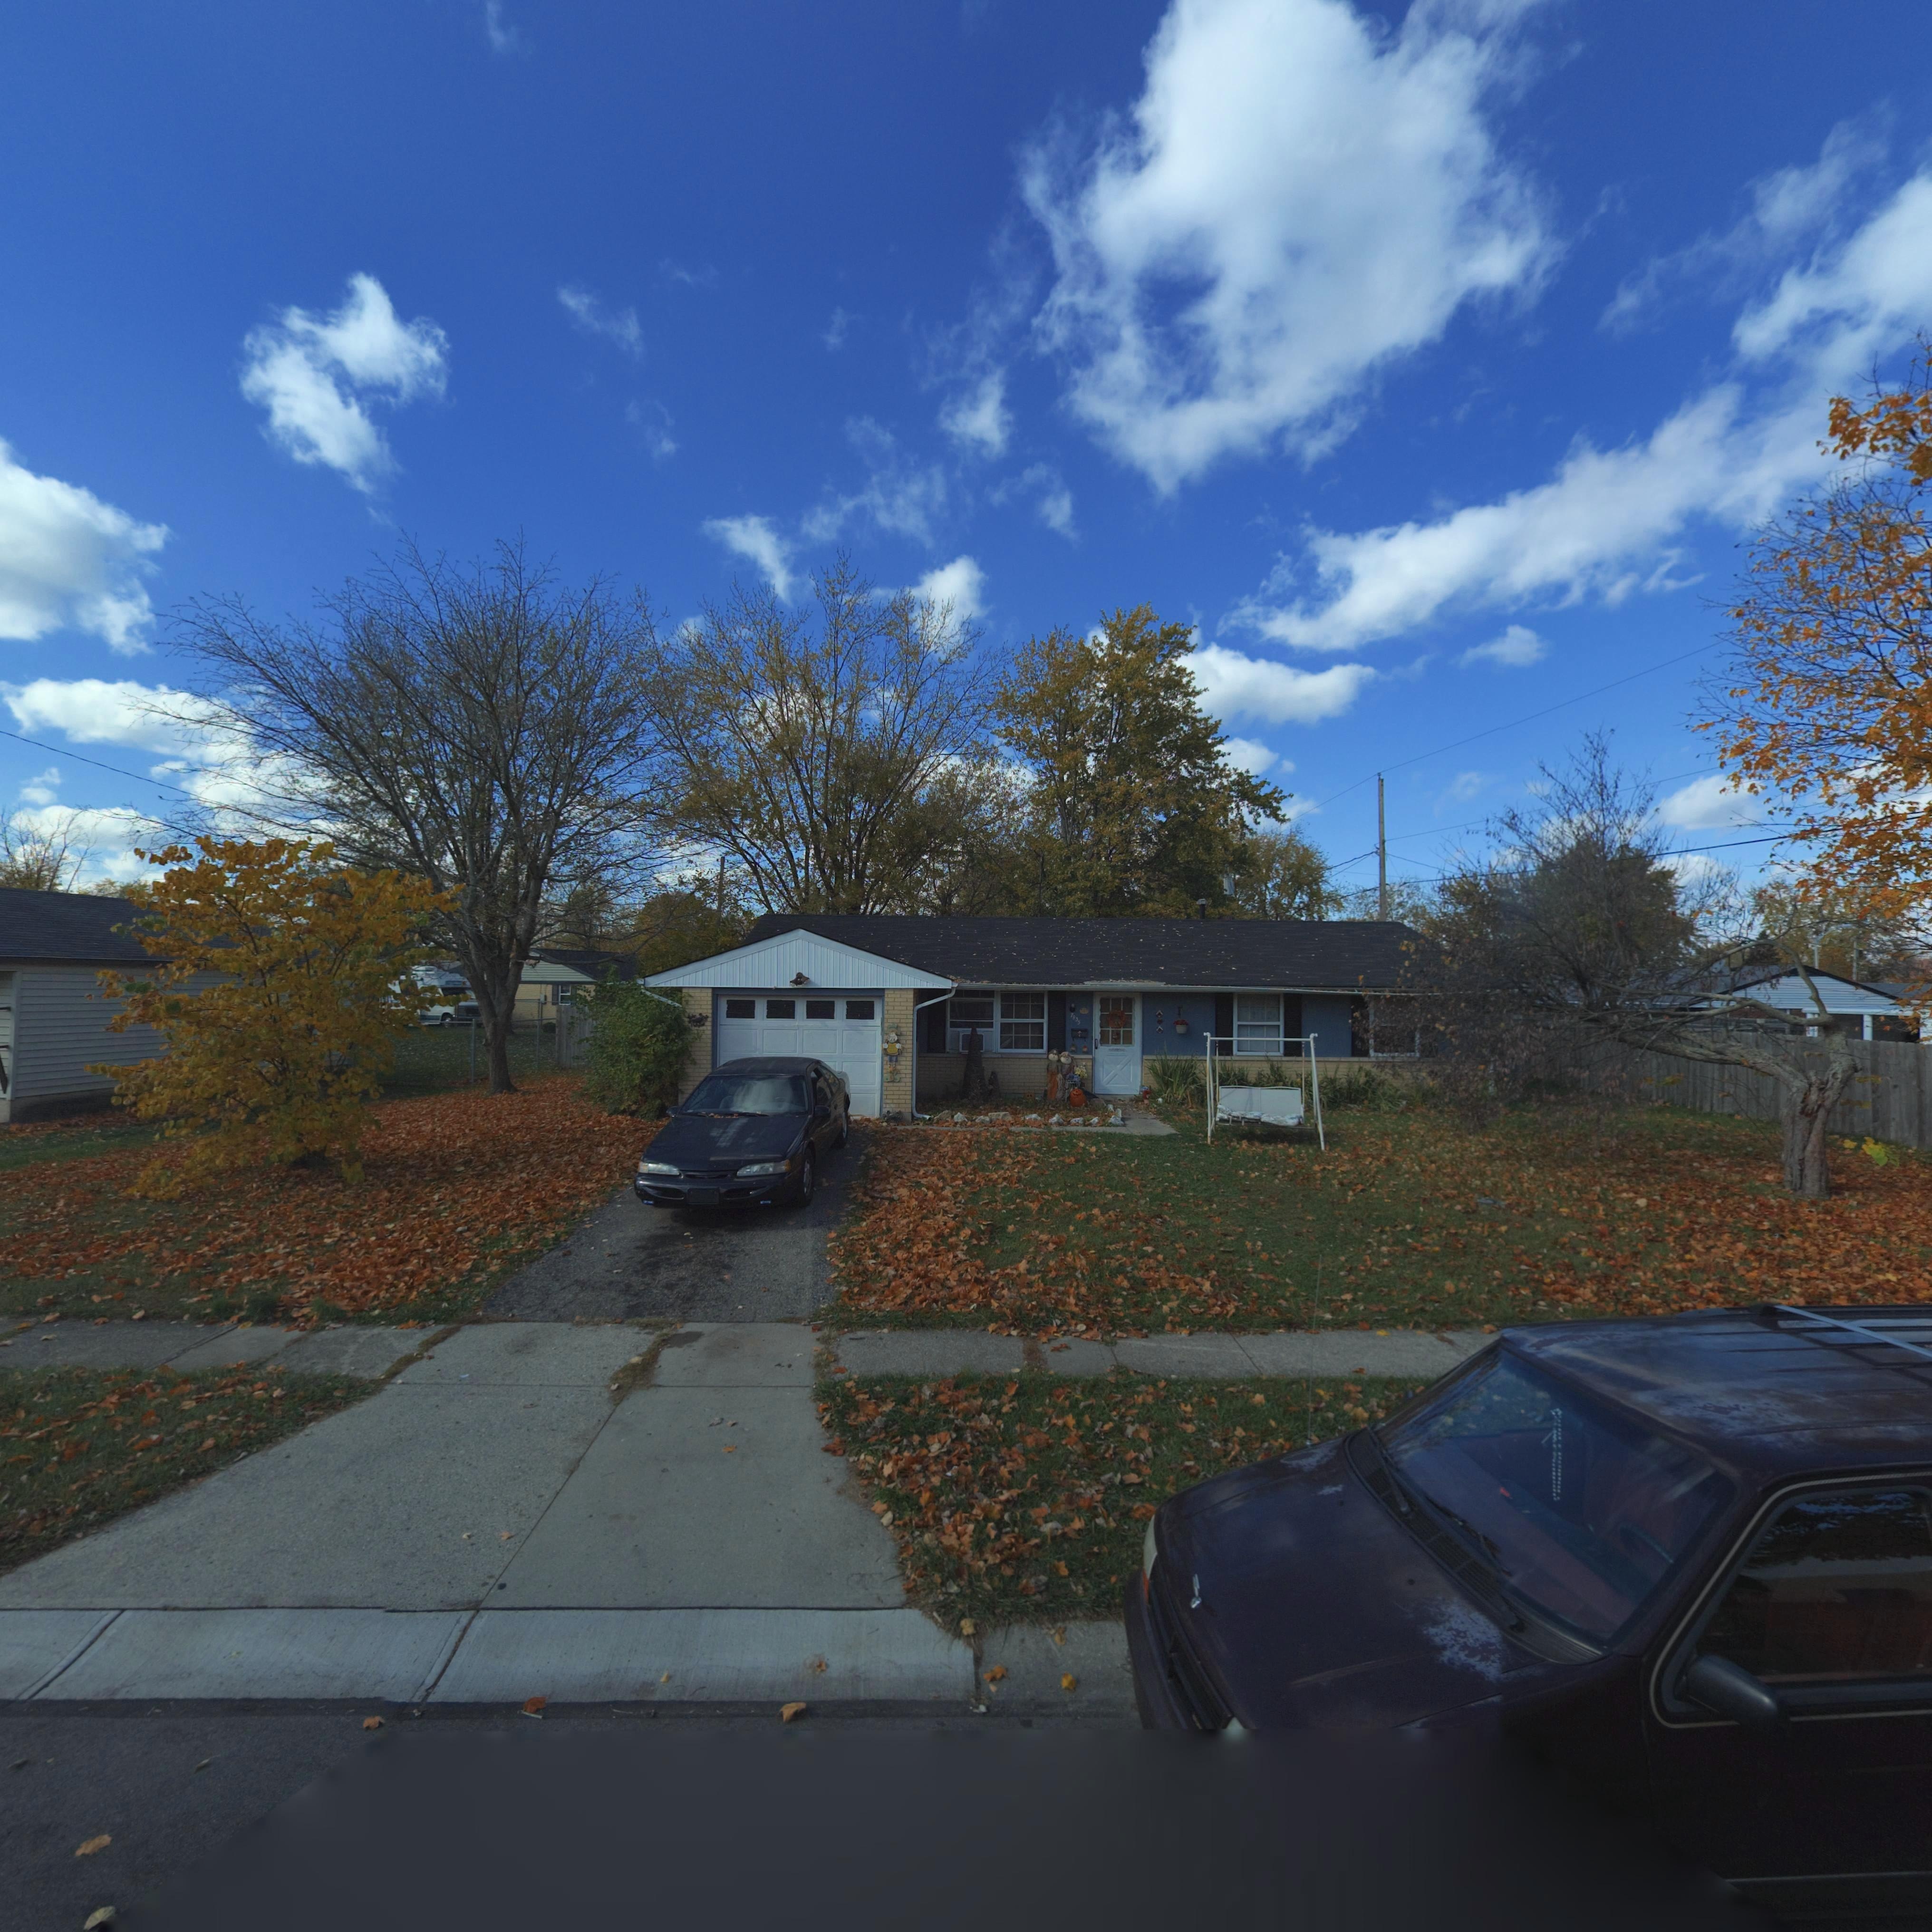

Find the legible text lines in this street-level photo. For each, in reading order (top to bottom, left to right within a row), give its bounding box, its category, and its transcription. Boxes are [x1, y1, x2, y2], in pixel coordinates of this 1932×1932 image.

[1070, 1013, 1081, 1025] StreetNumber: 7935